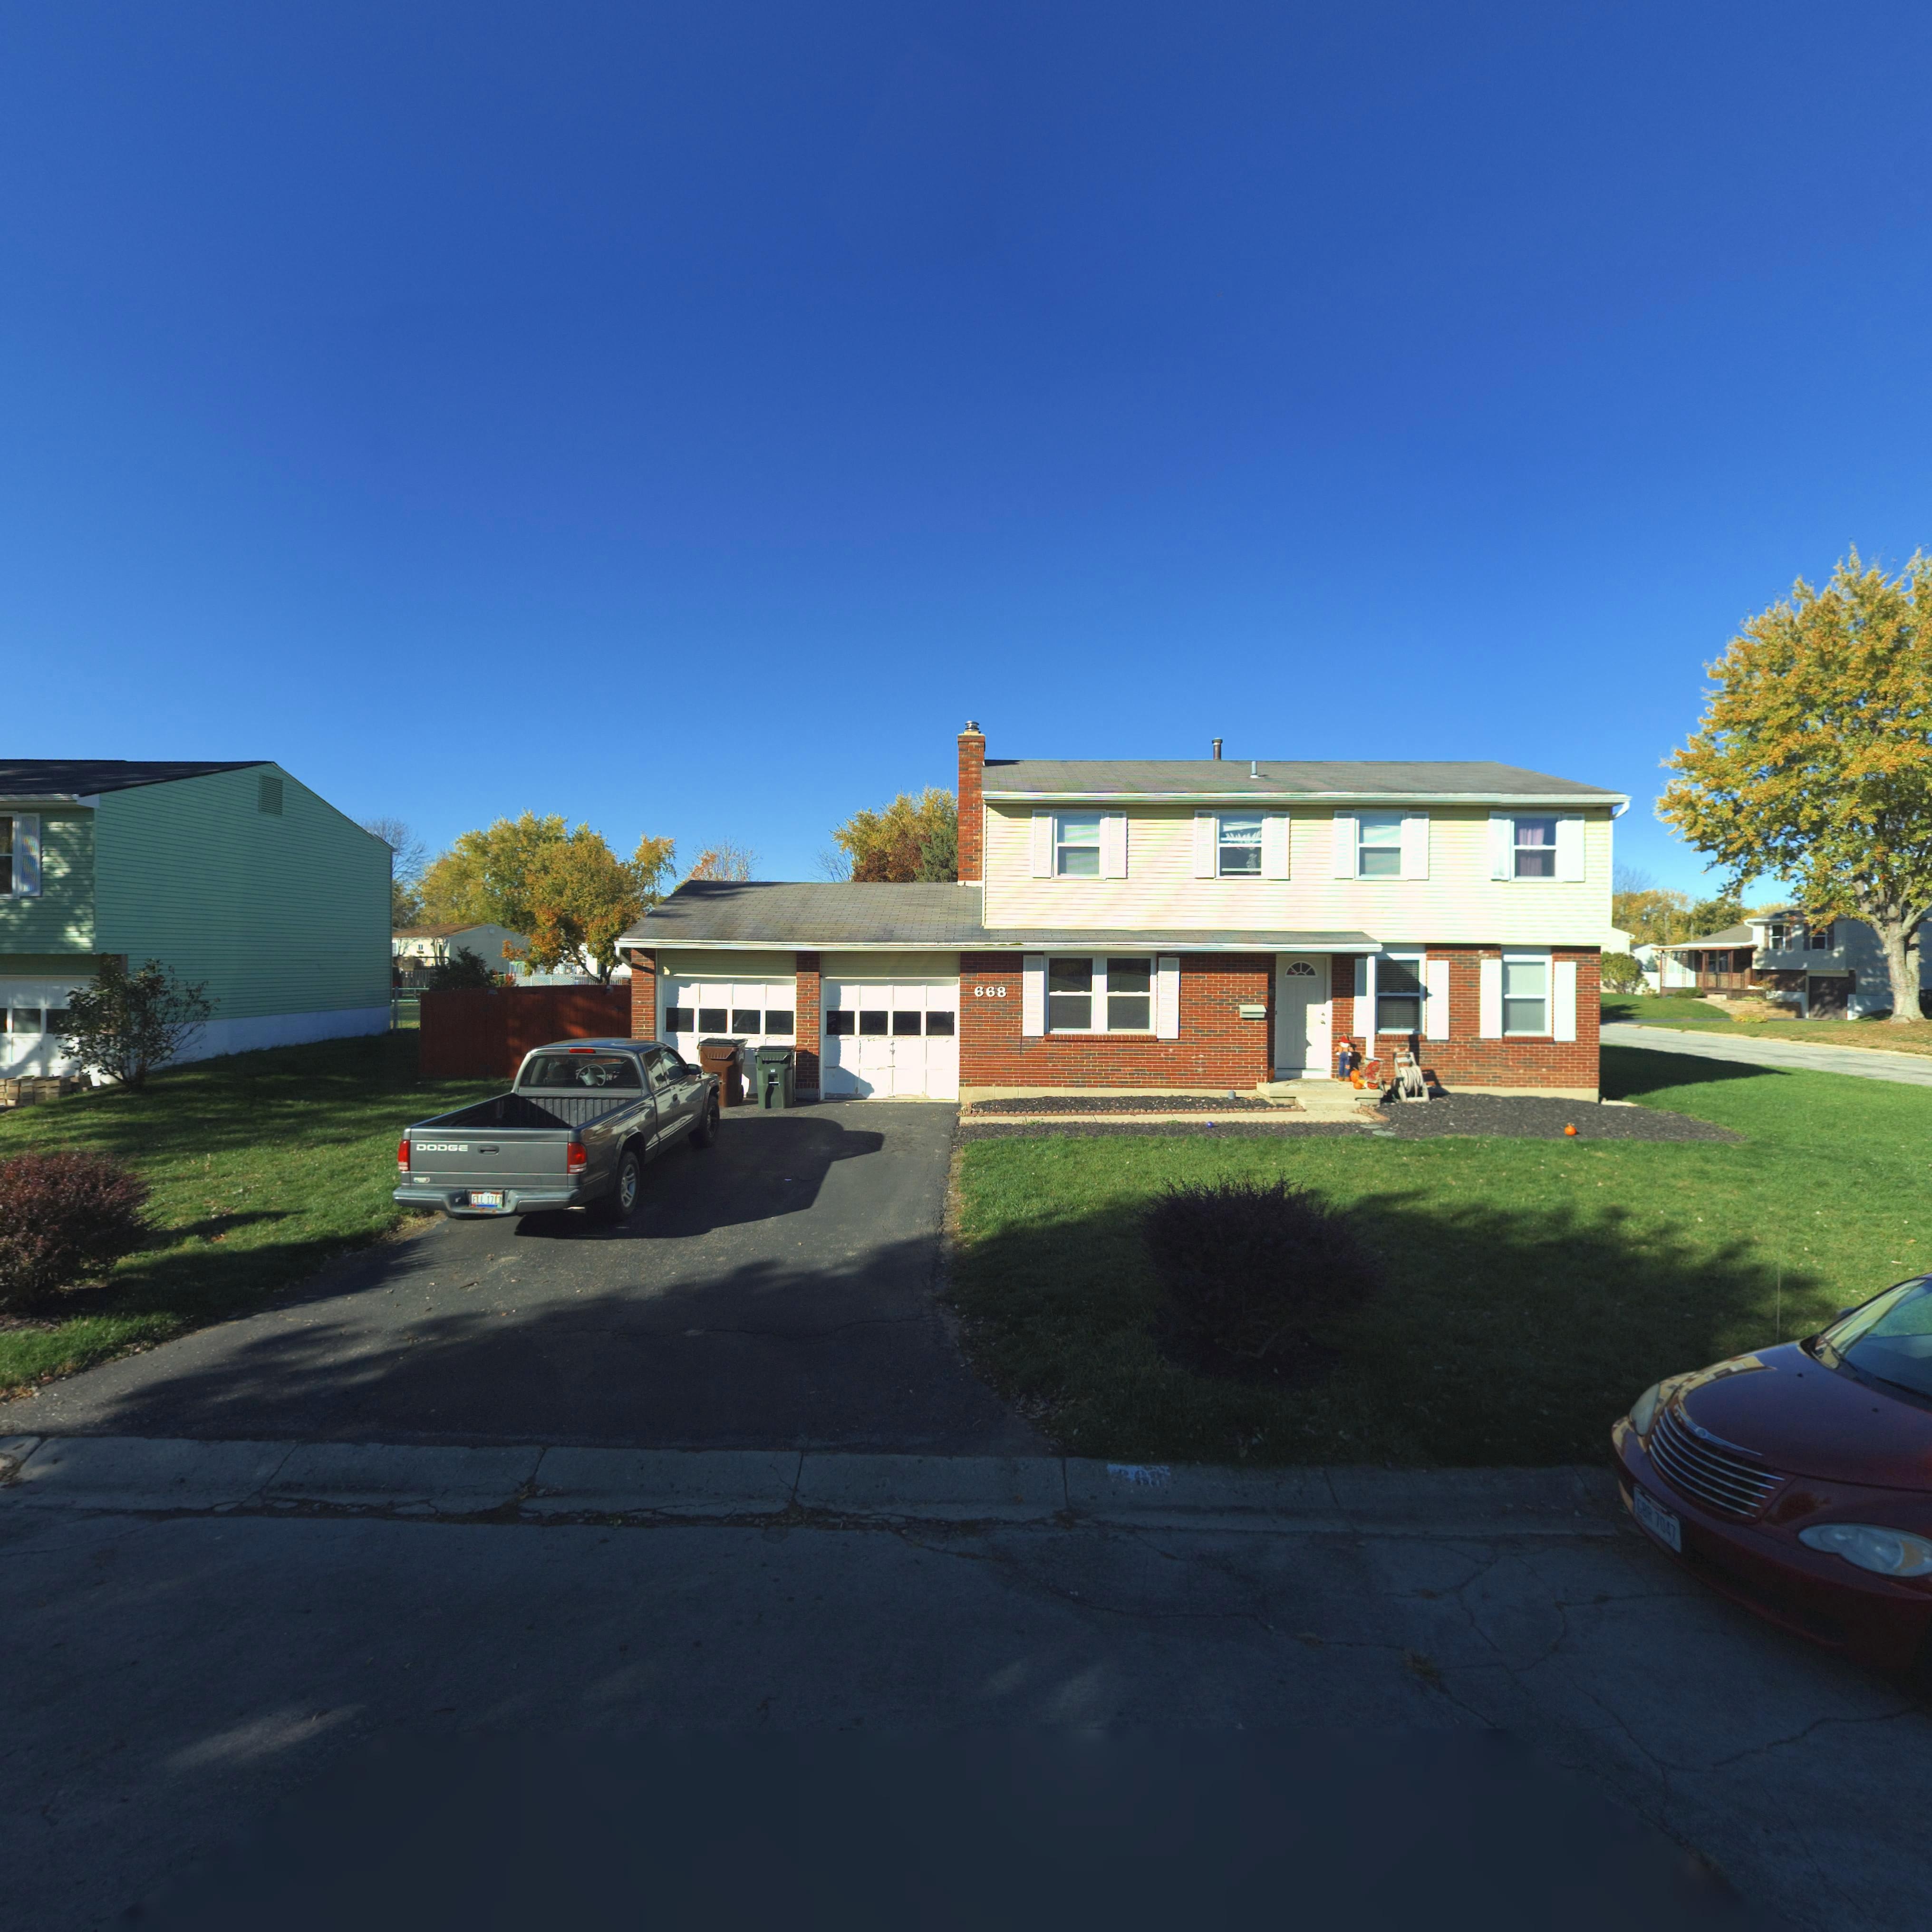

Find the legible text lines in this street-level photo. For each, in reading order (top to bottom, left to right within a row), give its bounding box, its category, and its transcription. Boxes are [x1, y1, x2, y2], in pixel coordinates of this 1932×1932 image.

[974, 985, 1007, 998] StreetNumber: 668
[1134, 1468, 1167, 1489] StreetNumber: 68